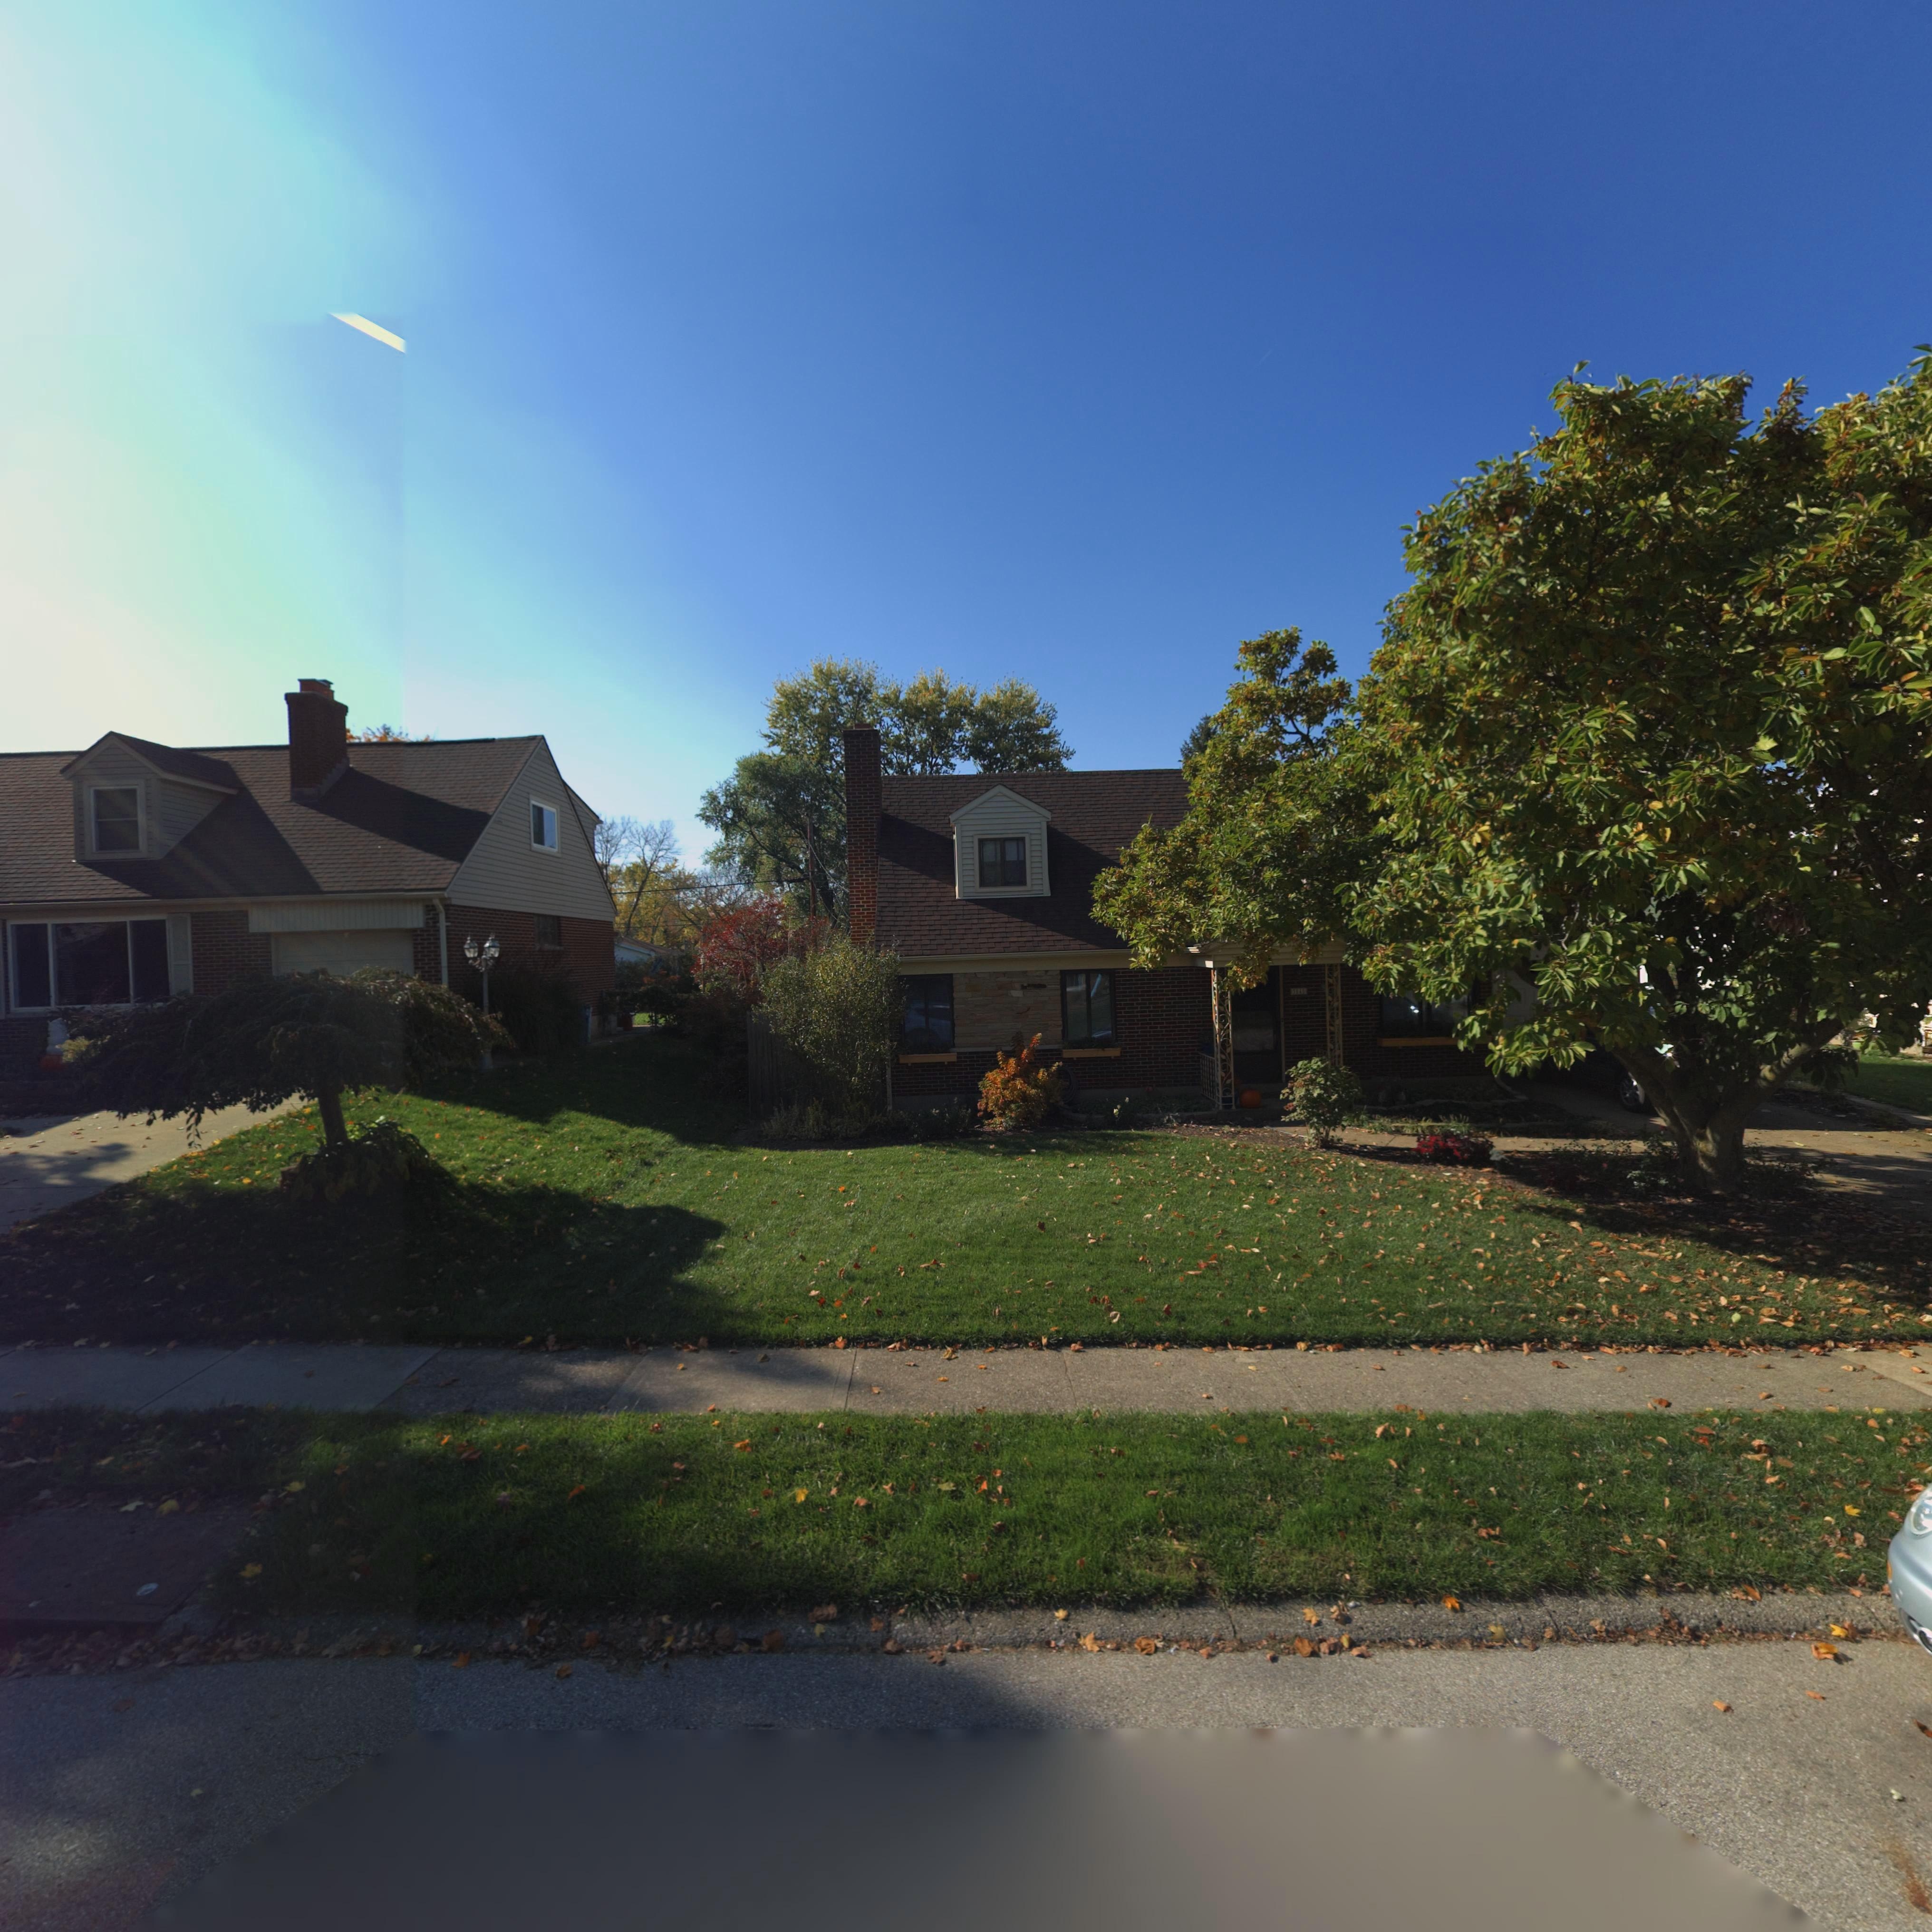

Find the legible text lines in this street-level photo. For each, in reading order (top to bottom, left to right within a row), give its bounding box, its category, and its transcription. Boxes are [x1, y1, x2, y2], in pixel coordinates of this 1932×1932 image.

[1292, 988, 1305, 995] StreetNumber: 3845